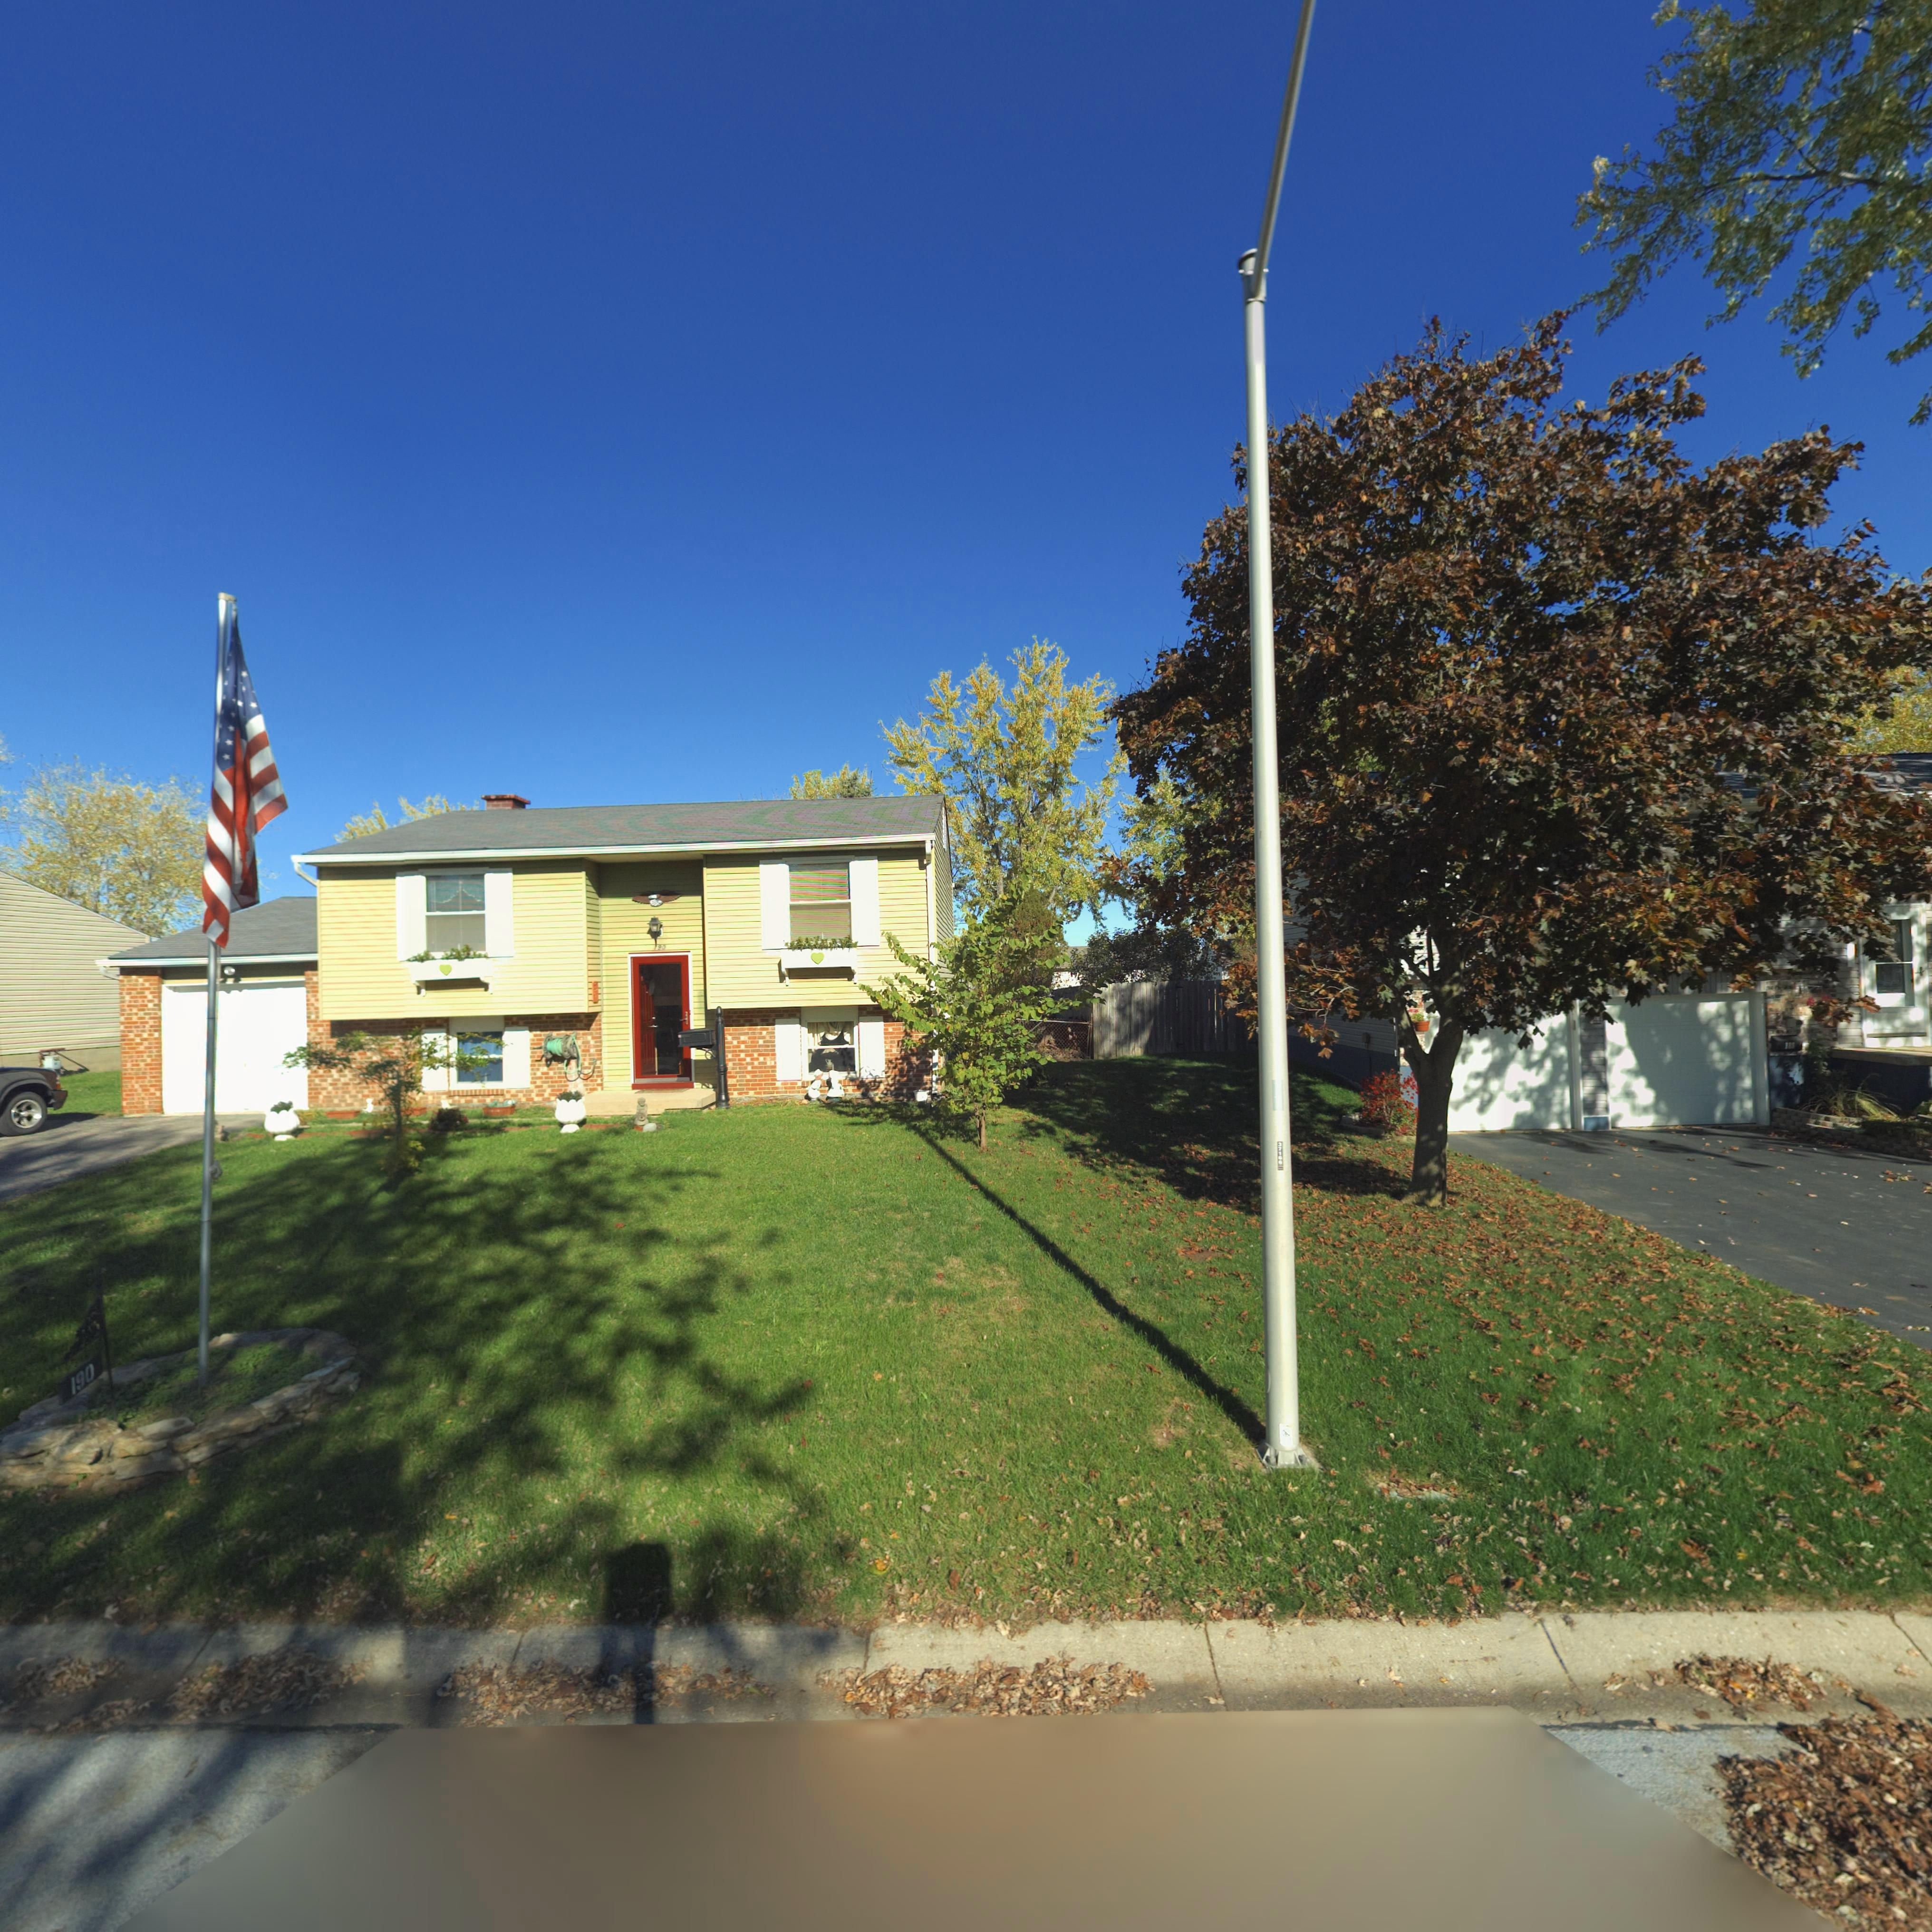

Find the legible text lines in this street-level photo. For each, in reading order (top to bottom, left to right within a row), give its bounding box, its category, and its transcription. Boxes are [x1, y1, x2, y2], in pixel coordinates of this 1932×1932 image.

[653, 943, 667, 951] StreetNumber: 190
[1784, 1041, 1796, 1050] StreetNumber: 1**
[70, 1362, 97, 1396] StreetNumber: 190